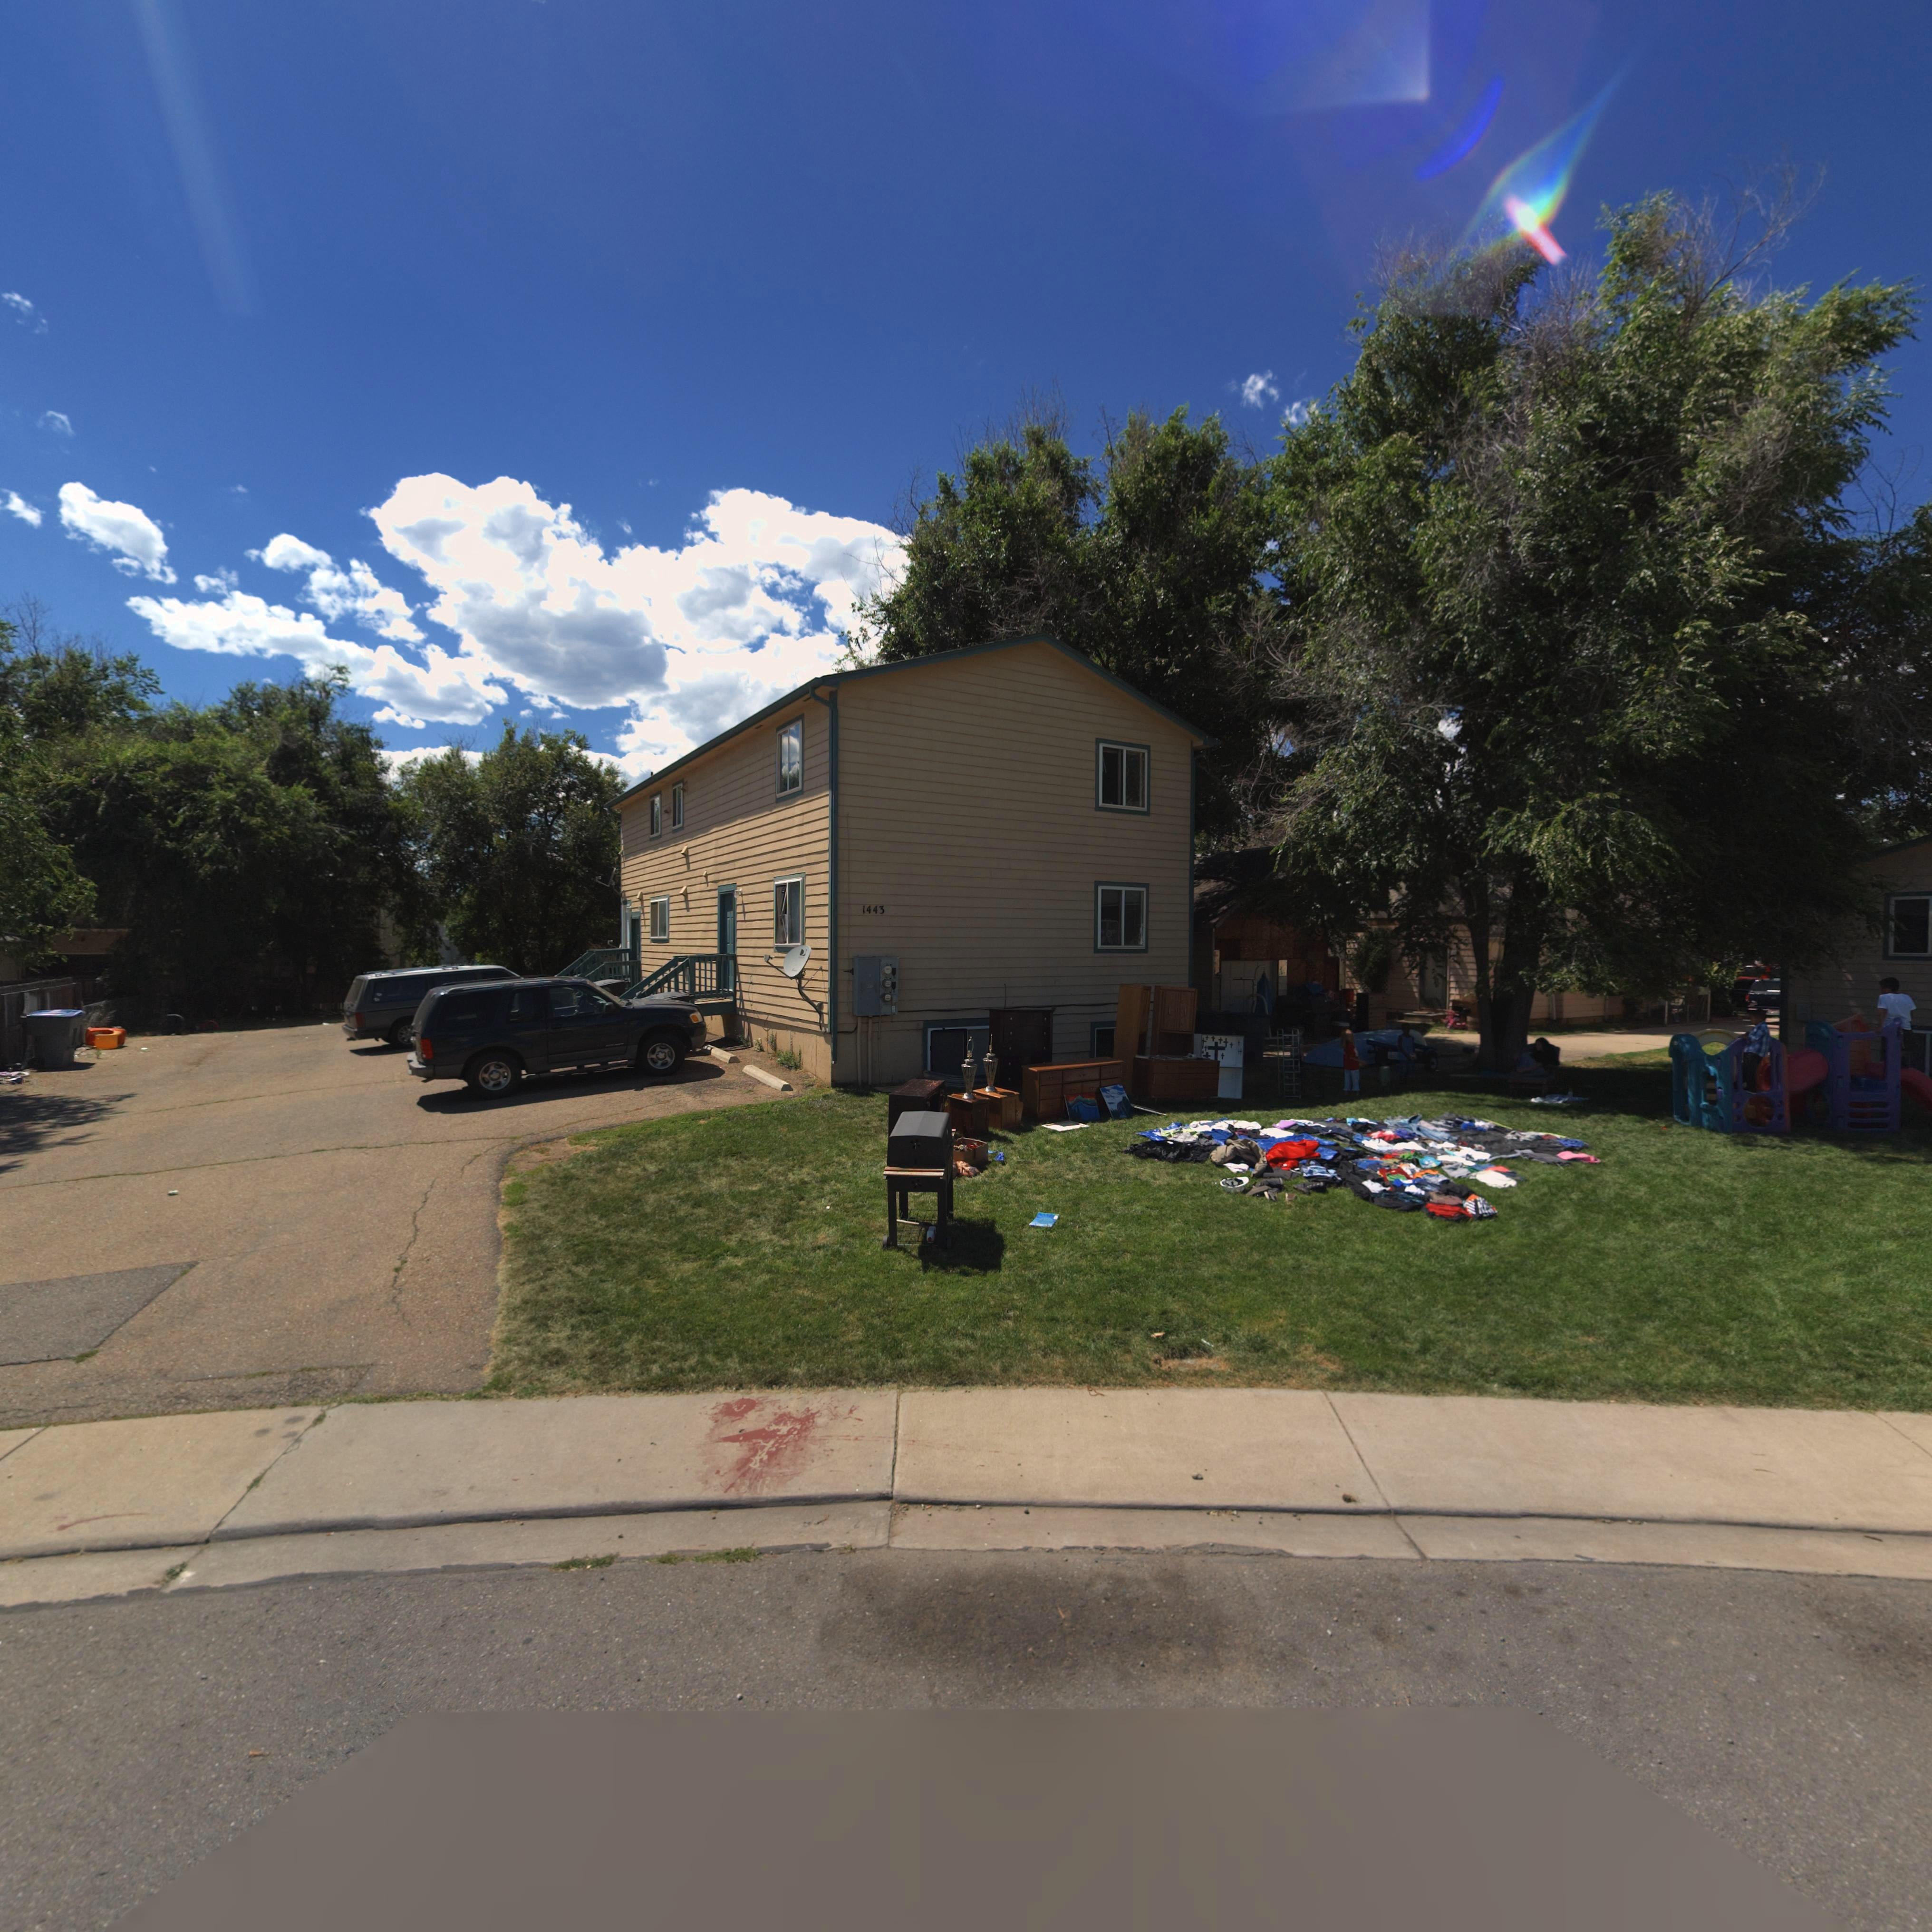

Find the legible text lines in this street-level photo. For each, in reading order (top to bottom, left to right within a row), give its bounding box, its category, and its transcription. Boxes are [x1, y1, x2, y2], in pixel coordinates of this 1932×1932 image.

[862, 905, 885, 914] StreetNumber: 1443